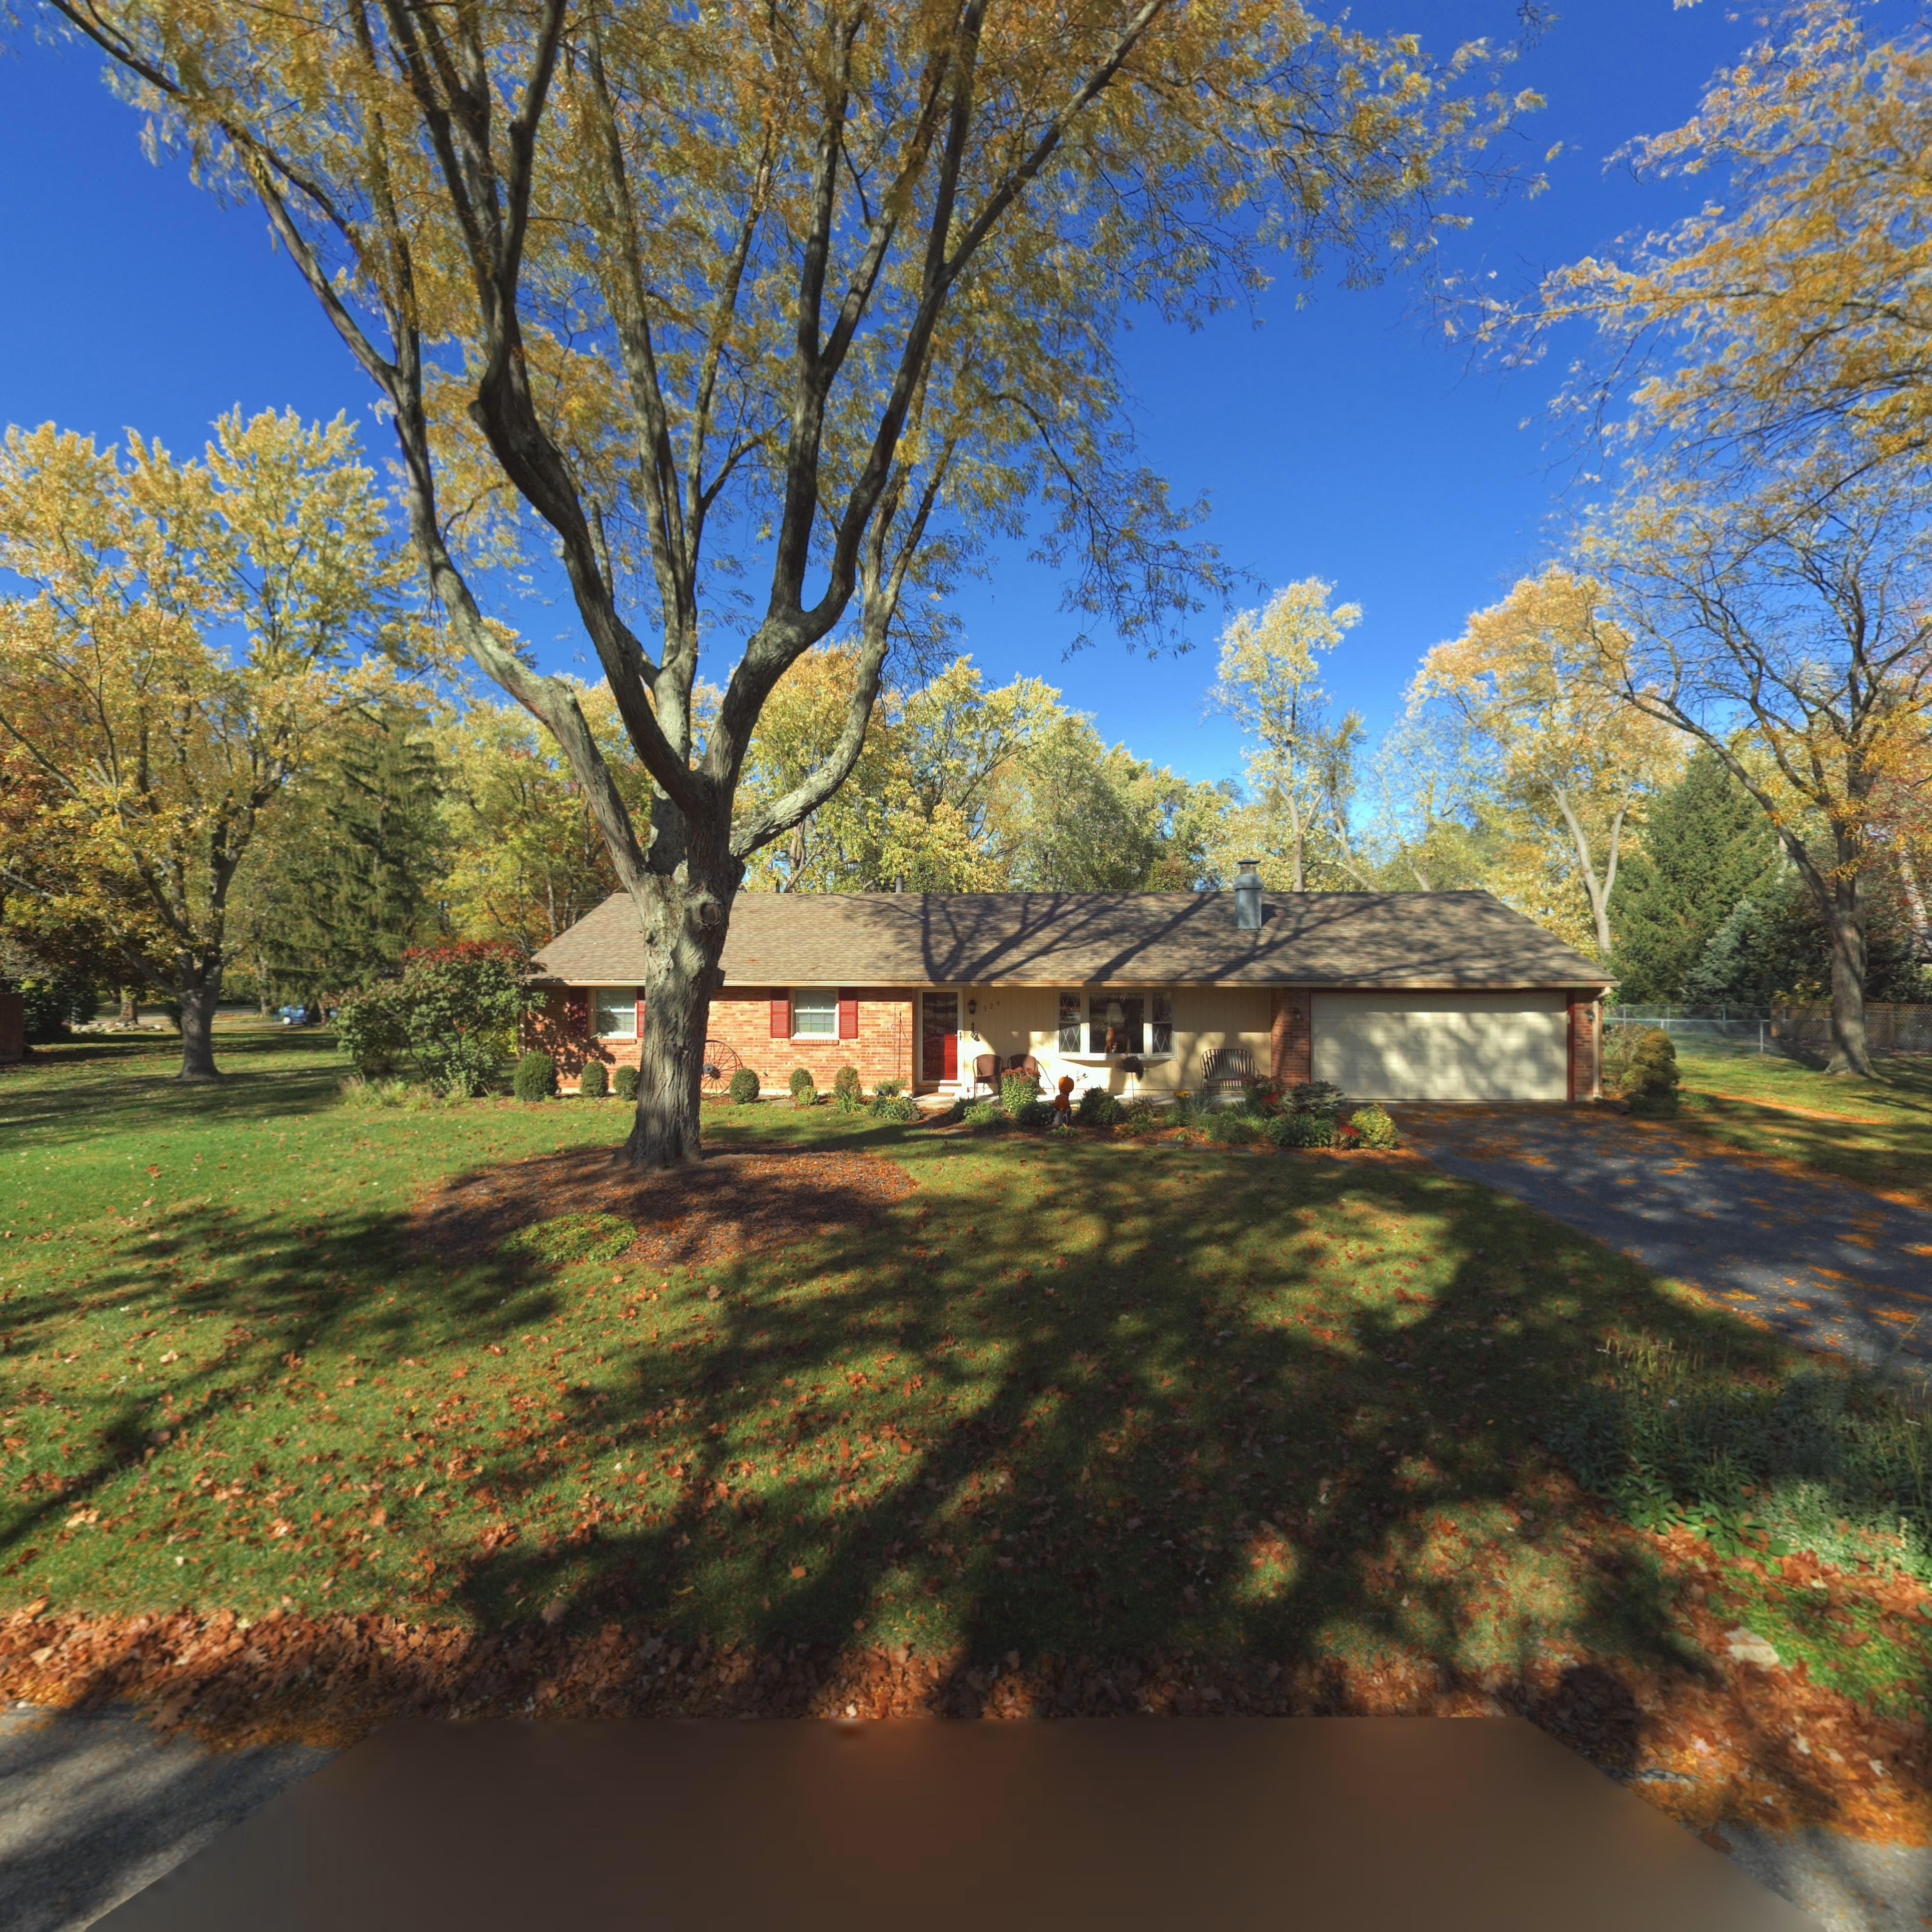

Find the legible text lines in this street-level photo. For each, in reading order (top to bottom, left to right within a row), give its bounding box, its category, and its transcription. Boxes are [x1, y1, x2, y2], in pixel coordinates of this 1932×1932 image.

[984, 1000, 1001, 1013] StreetNumber: 529